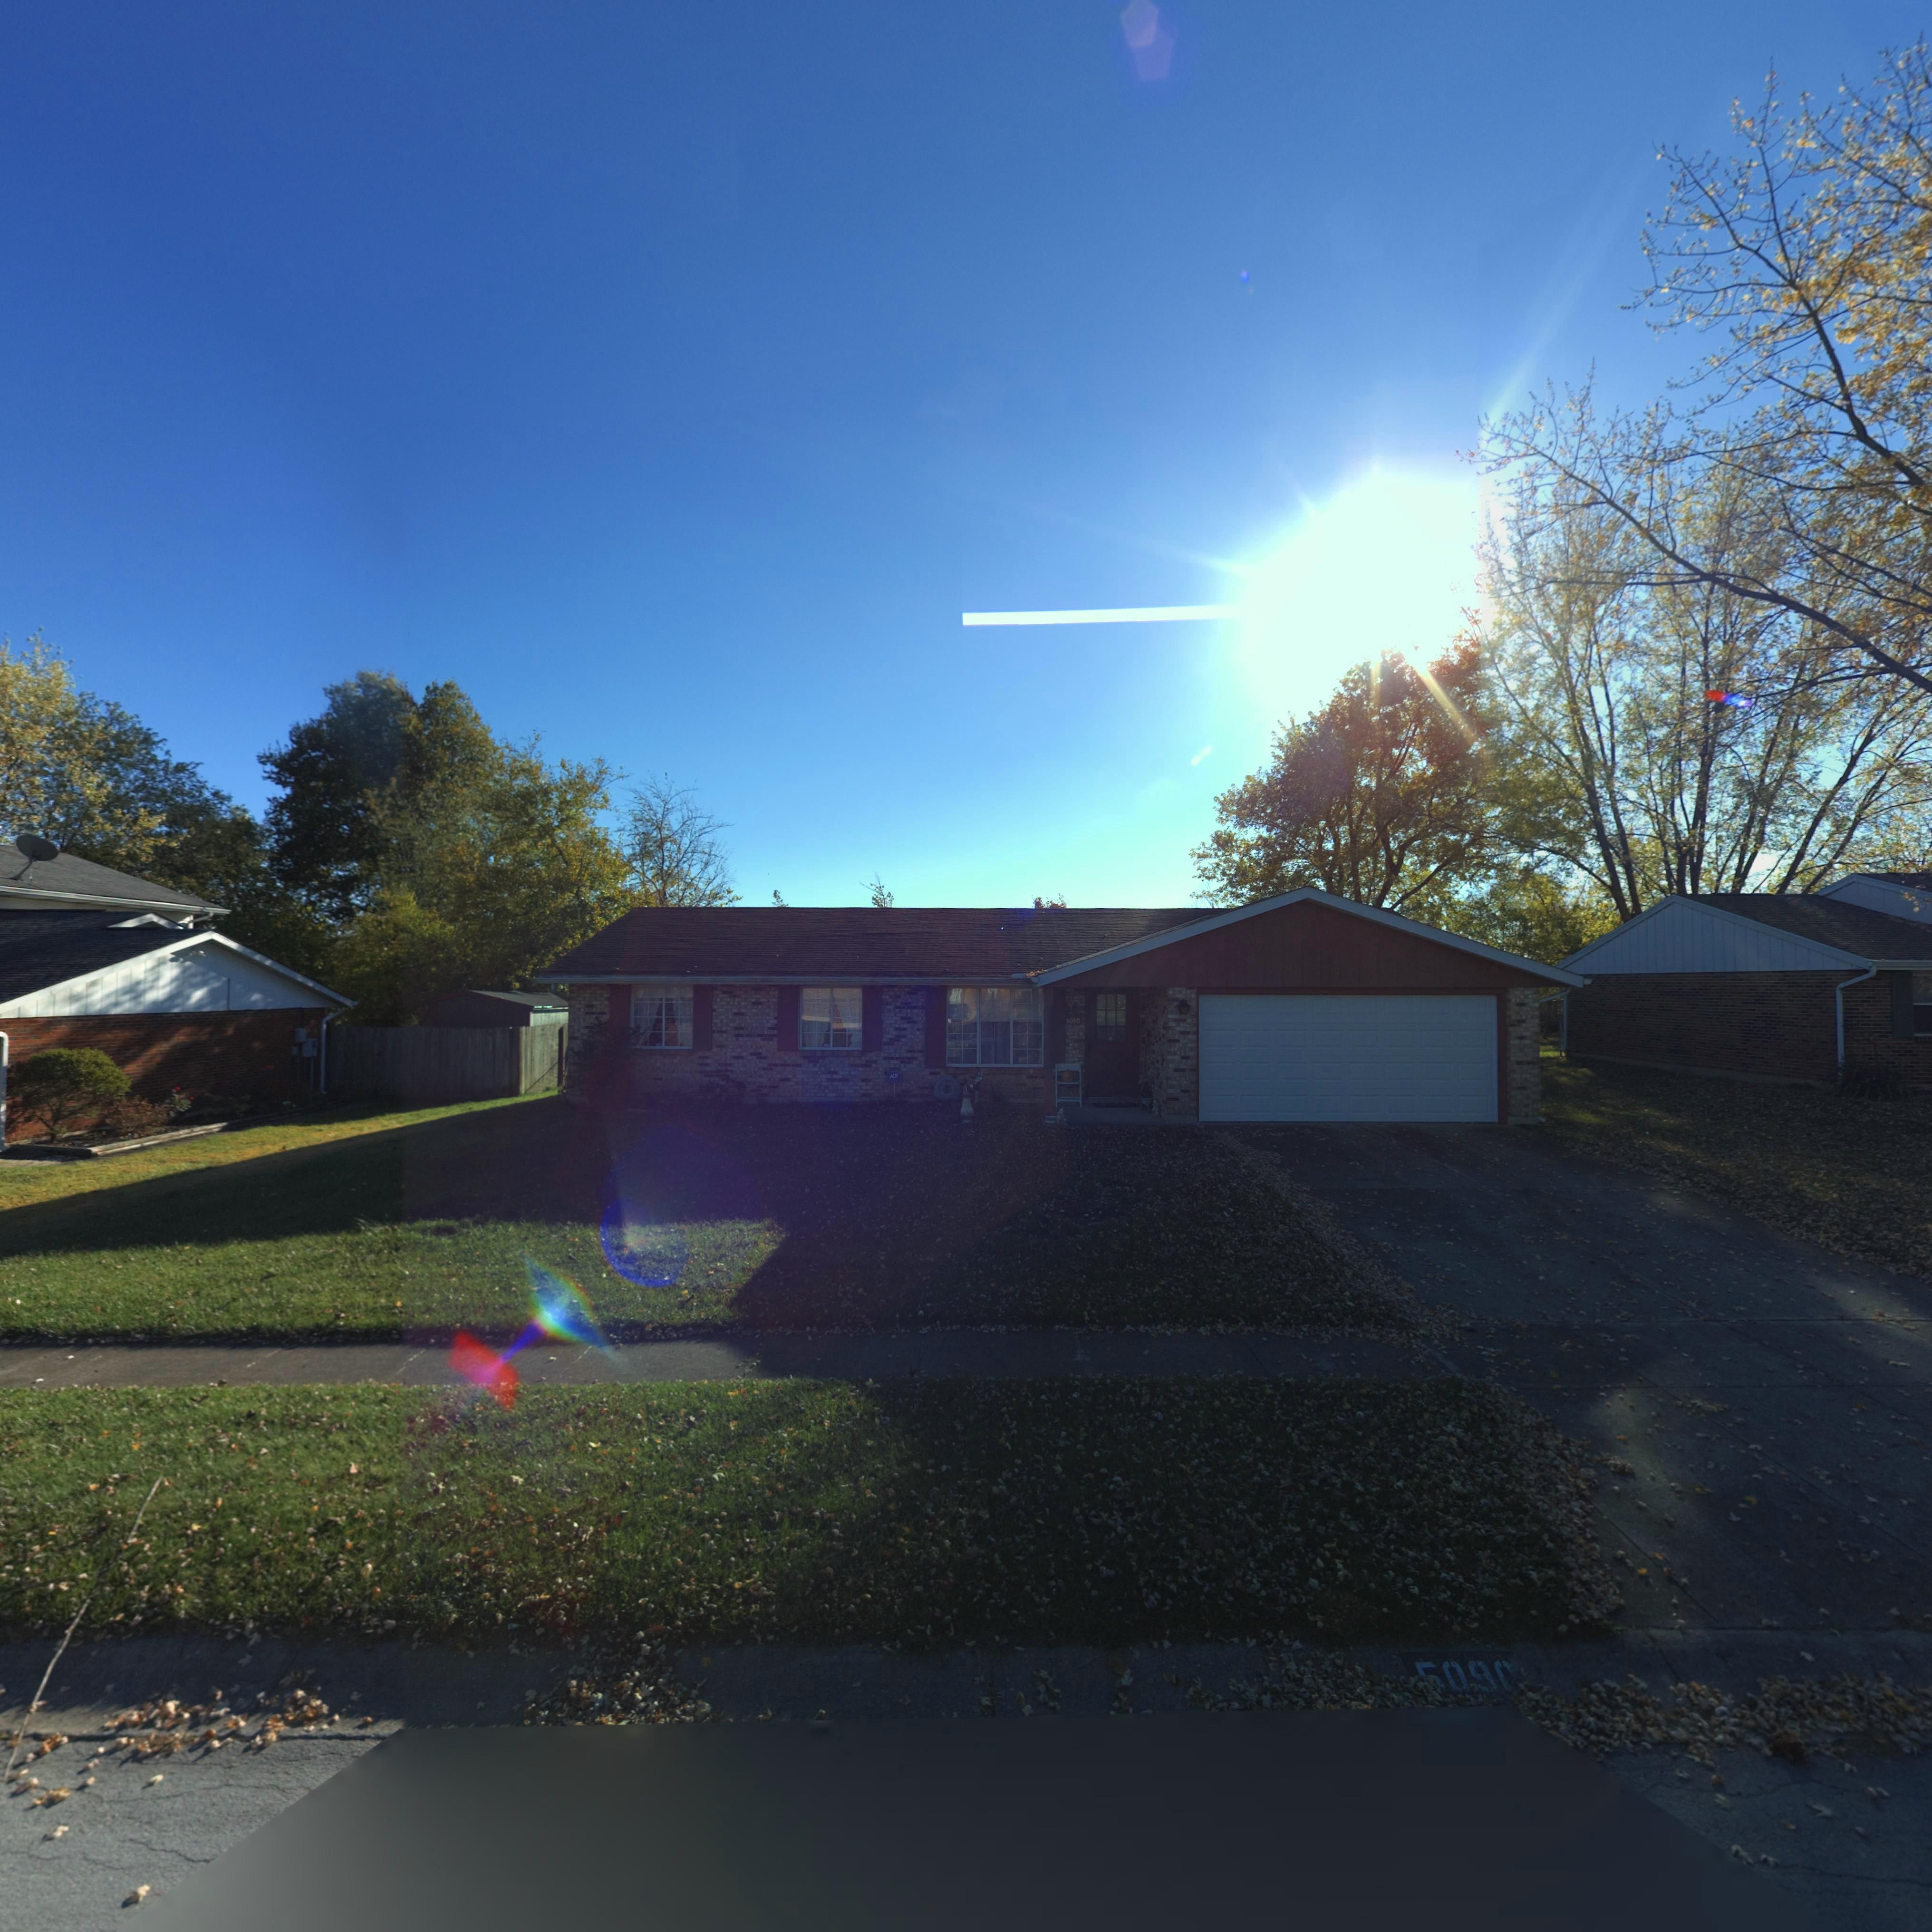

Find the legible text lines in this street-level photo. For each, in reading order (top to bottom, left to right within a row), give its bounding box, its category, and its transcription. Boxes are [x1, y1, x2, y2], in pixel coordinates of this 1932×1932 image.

[1065, 1017, 1081, 1024] StreetNumber: 5090
[1412, 1660, 1525, 1695] StreetNumber: *090